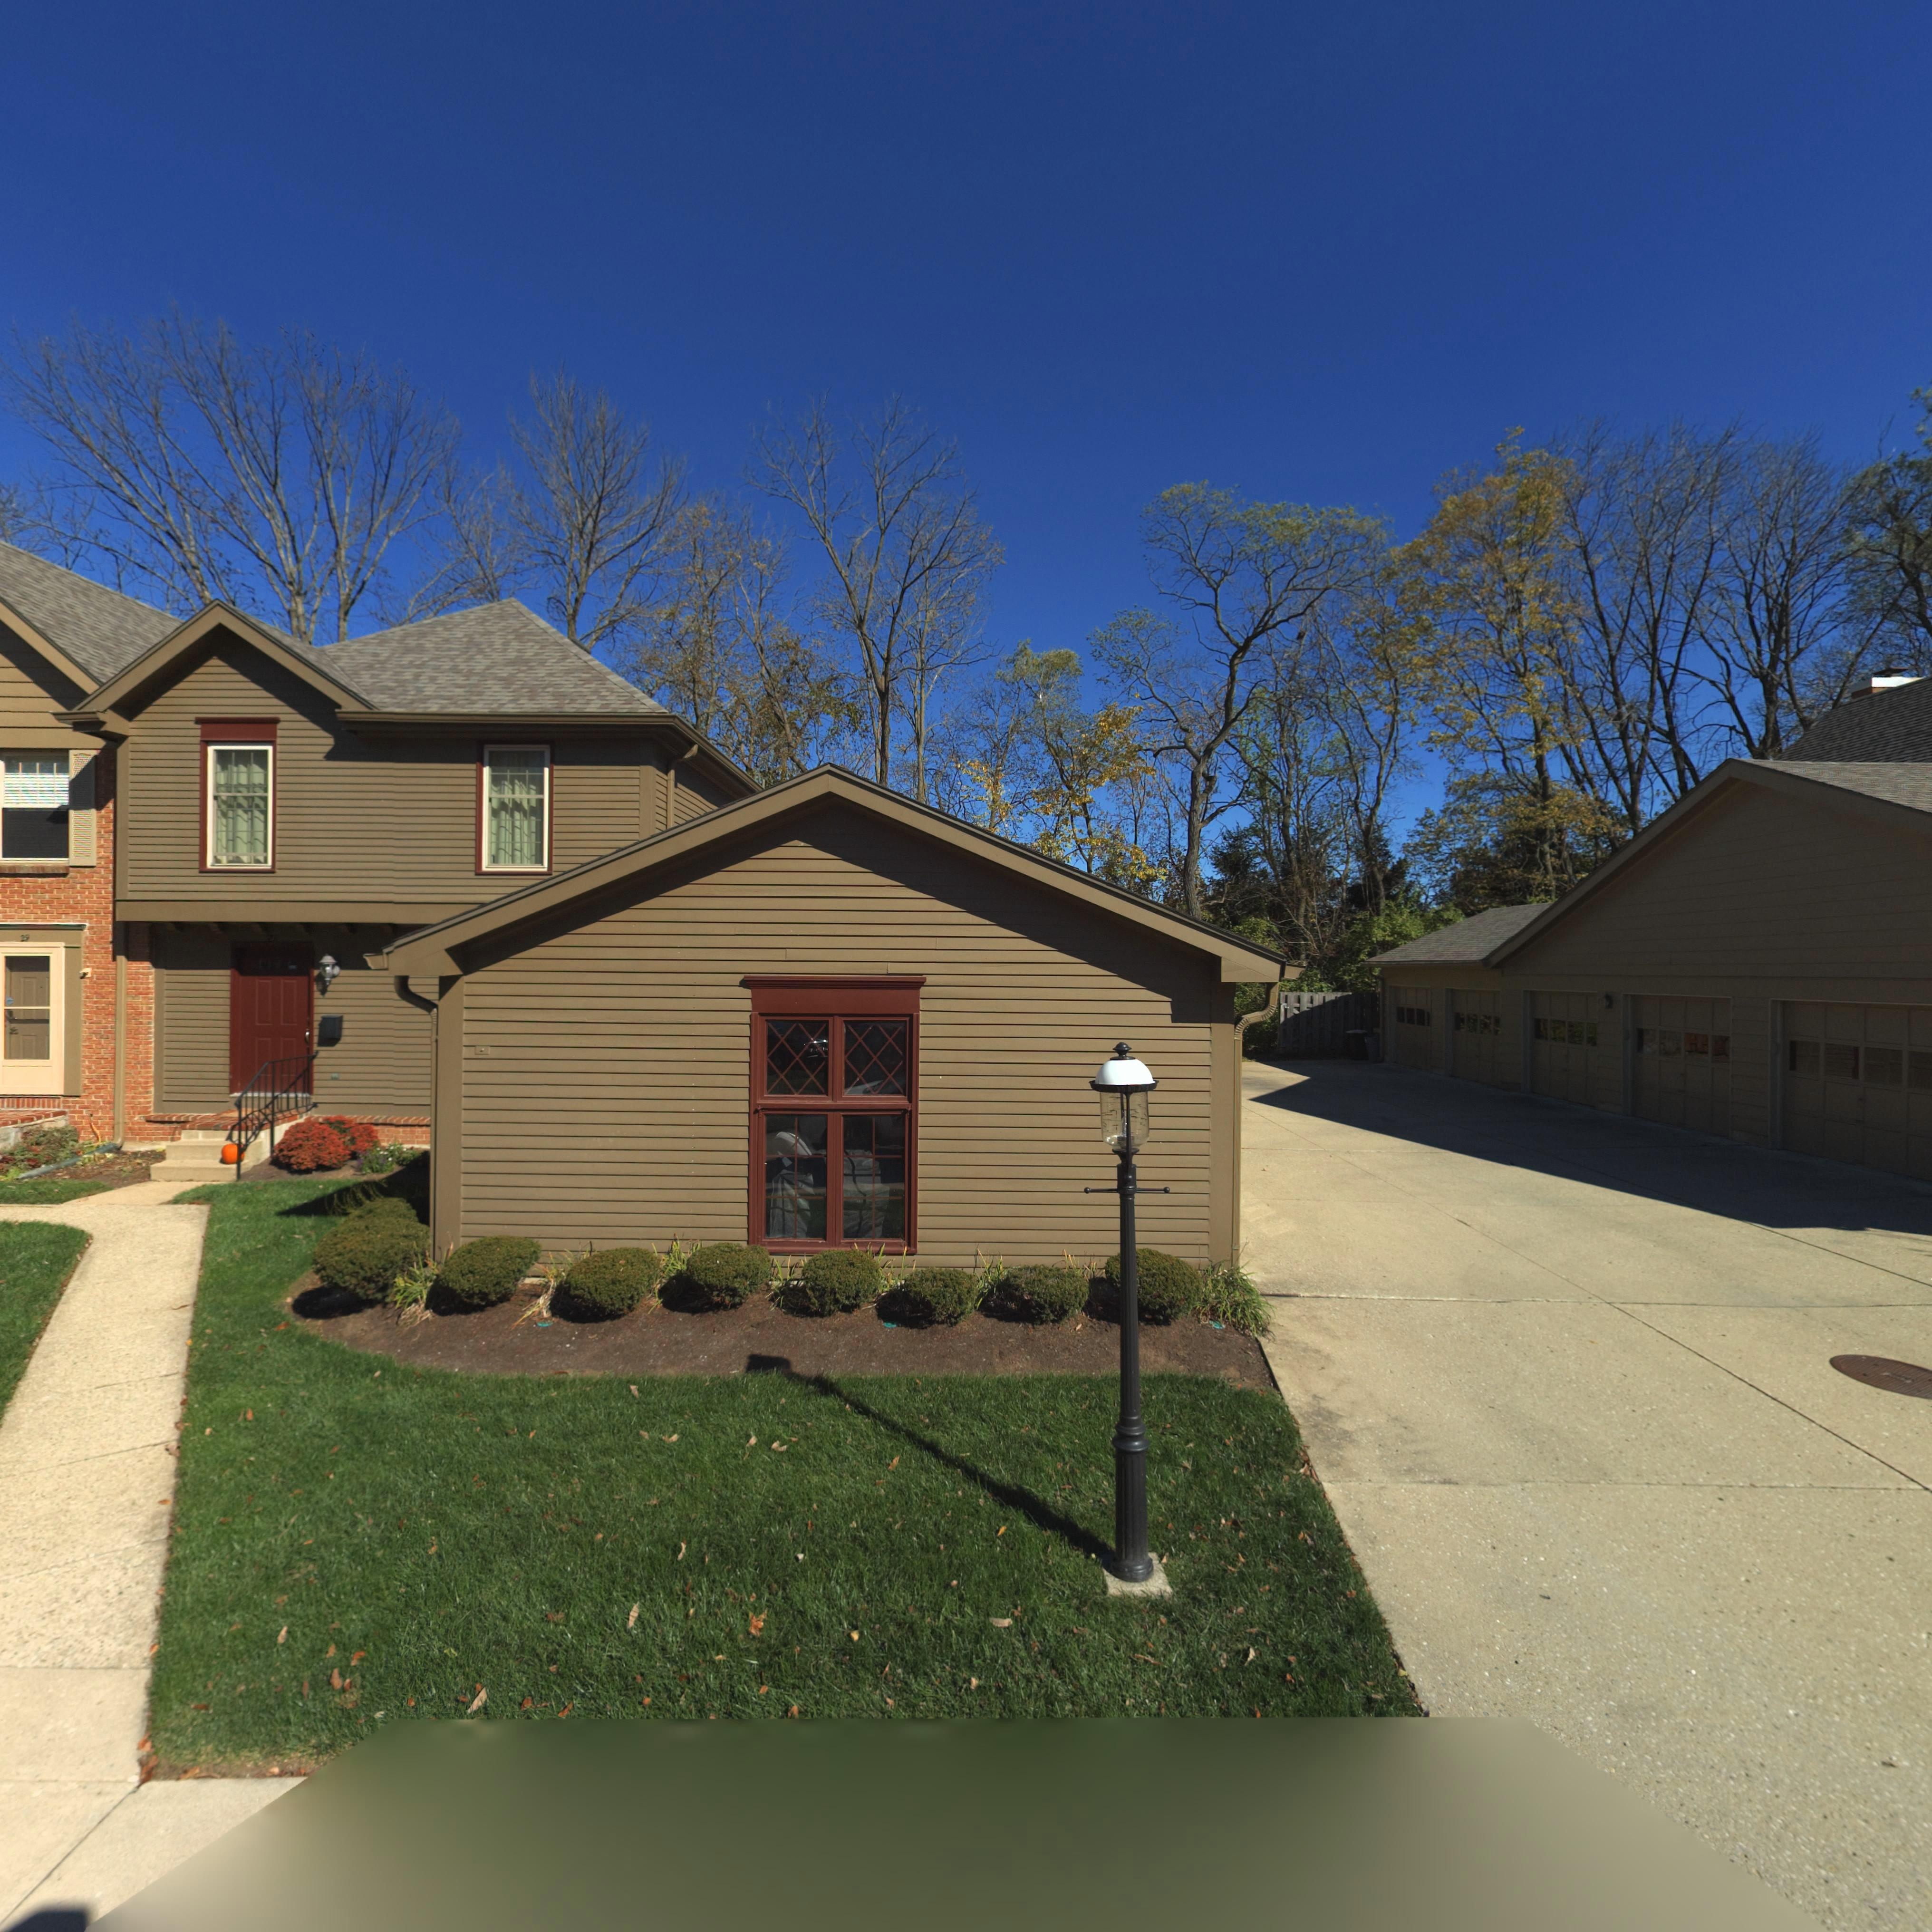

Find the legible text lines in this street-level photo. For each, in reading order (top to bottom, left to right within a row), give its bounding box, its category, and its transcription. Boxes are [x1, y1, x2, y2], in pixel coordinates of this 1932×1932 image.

[20, 934, 30, 942] StreetNumber: 29
[265, 934, 279, 942] StreetNumber: 27